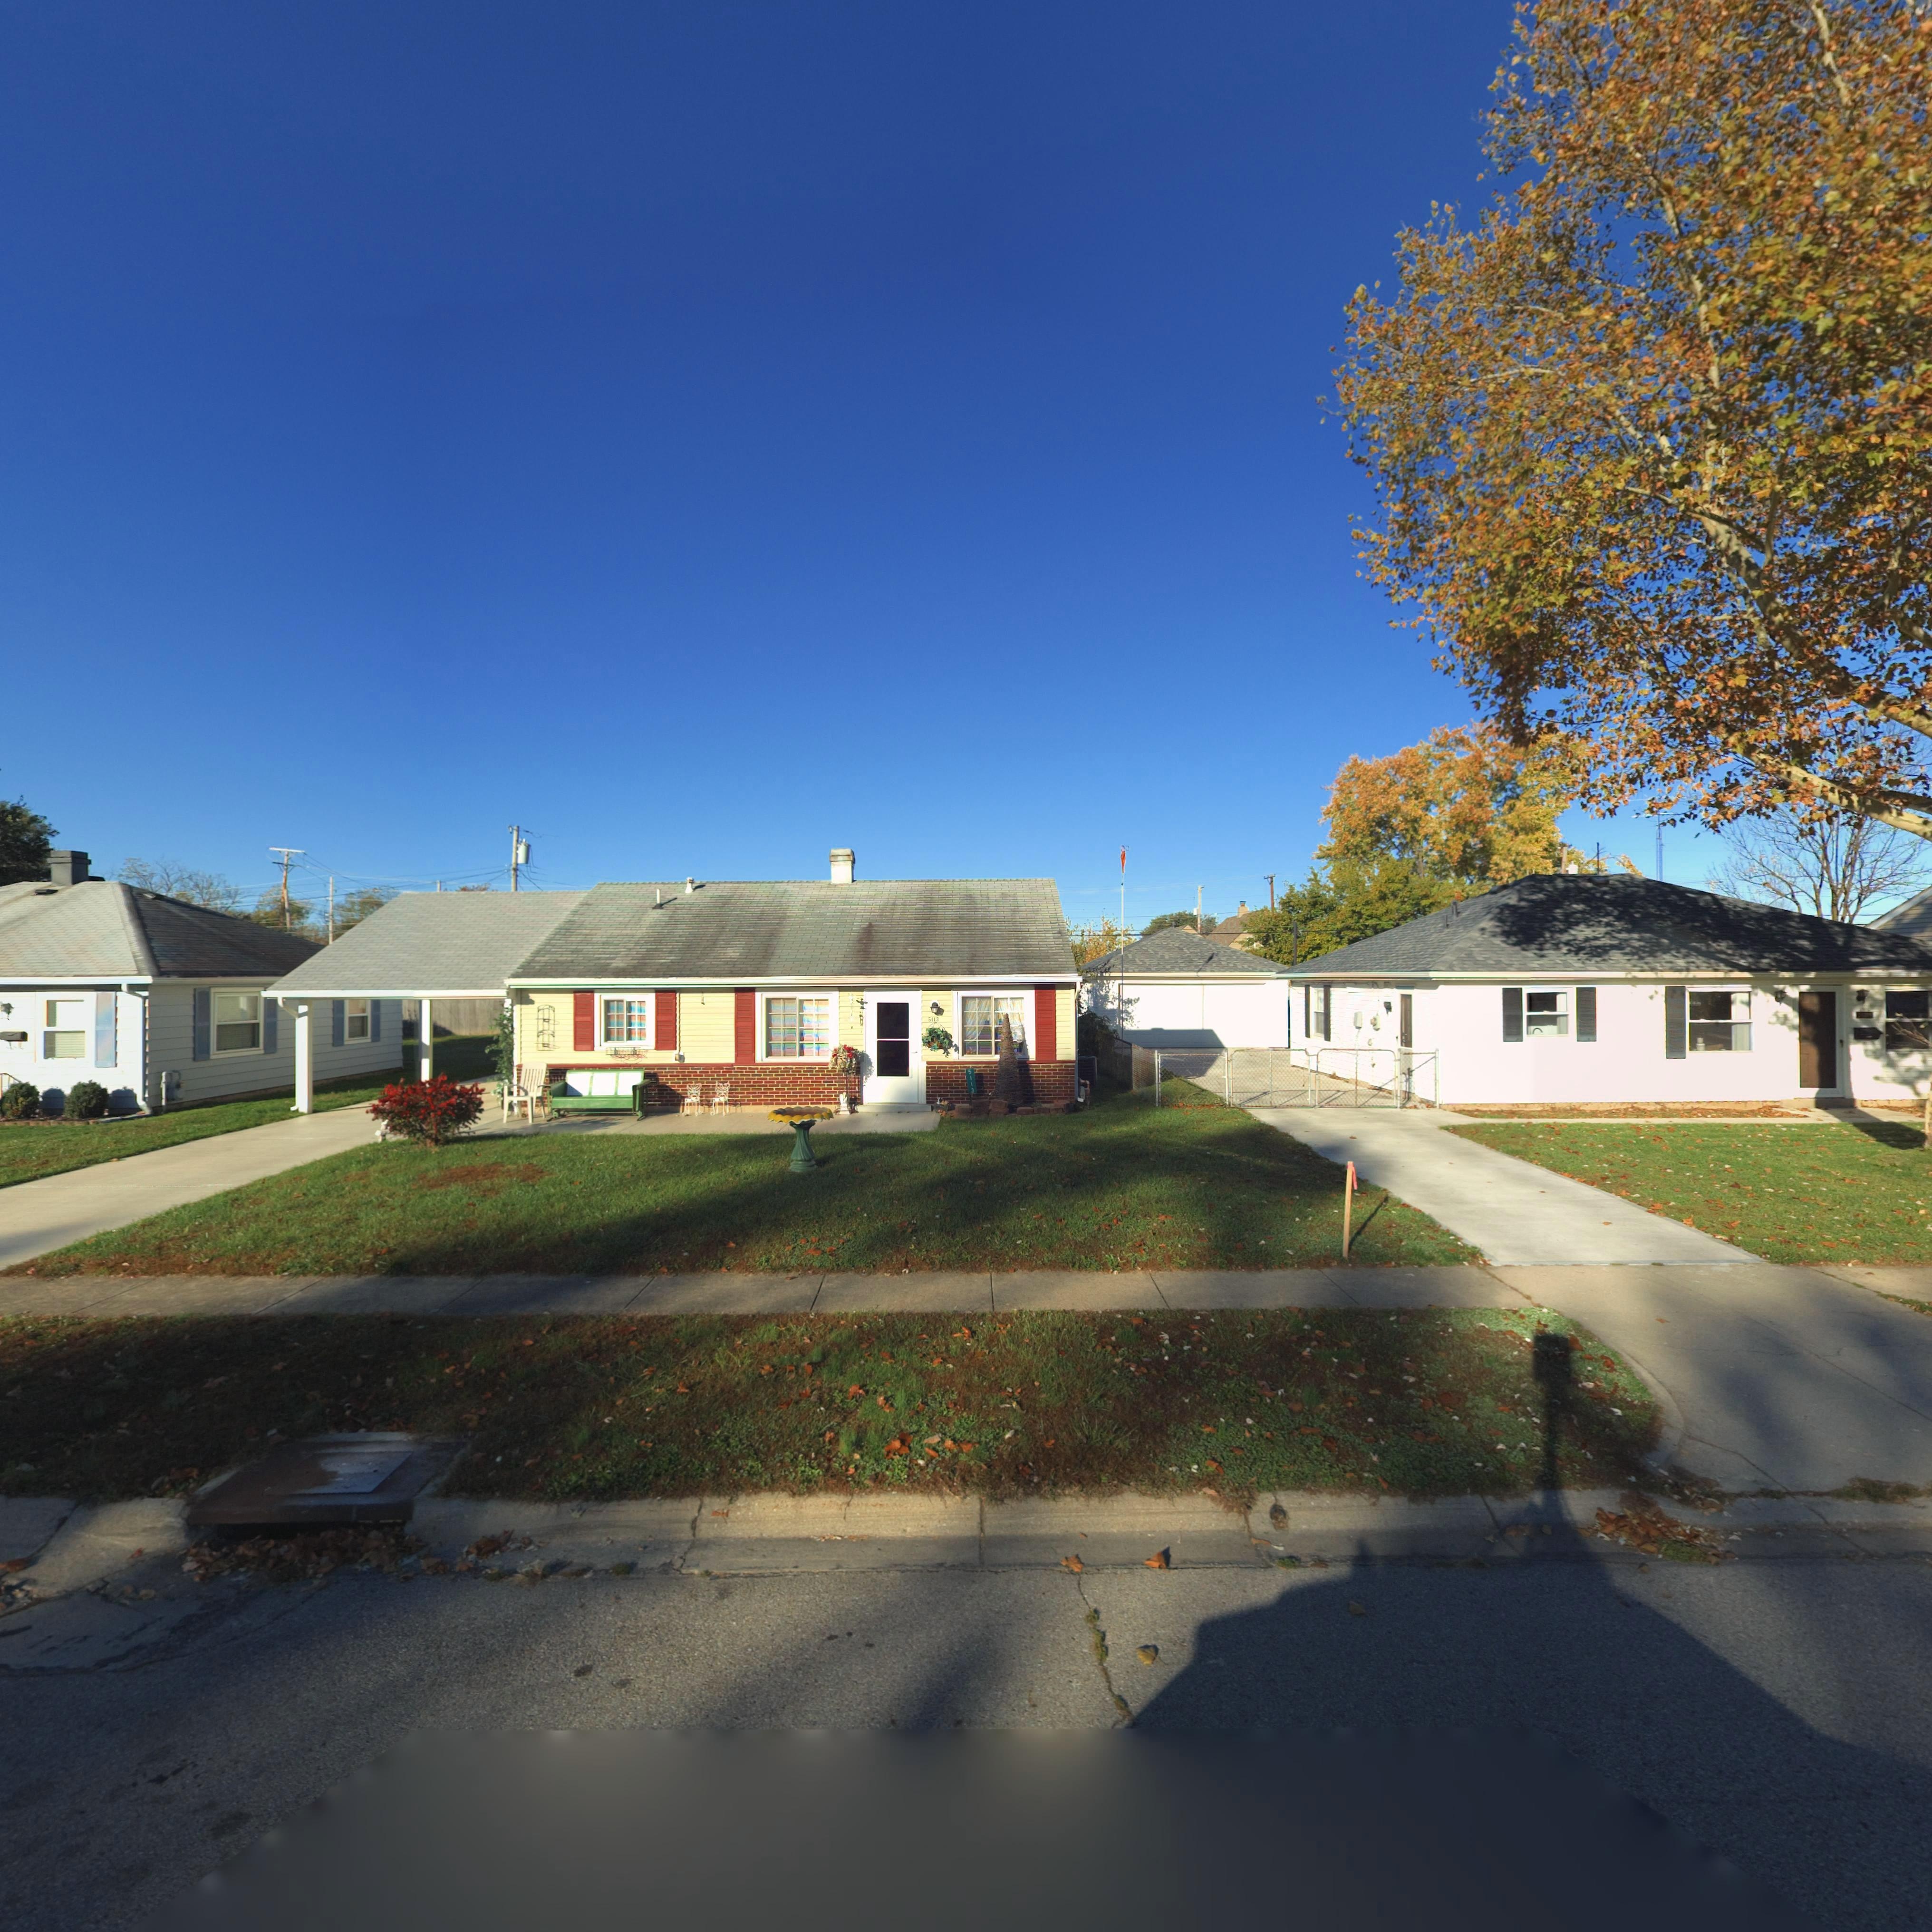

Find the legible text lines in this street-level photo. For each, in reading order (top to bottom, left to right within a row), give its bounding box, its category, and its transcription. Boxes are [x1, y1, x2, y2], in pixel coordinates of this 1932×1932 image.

[927, 1016, 939, 1022] StreetNumber: 5113
[968, 1069, 975, 1093] StreetNumber: 5113